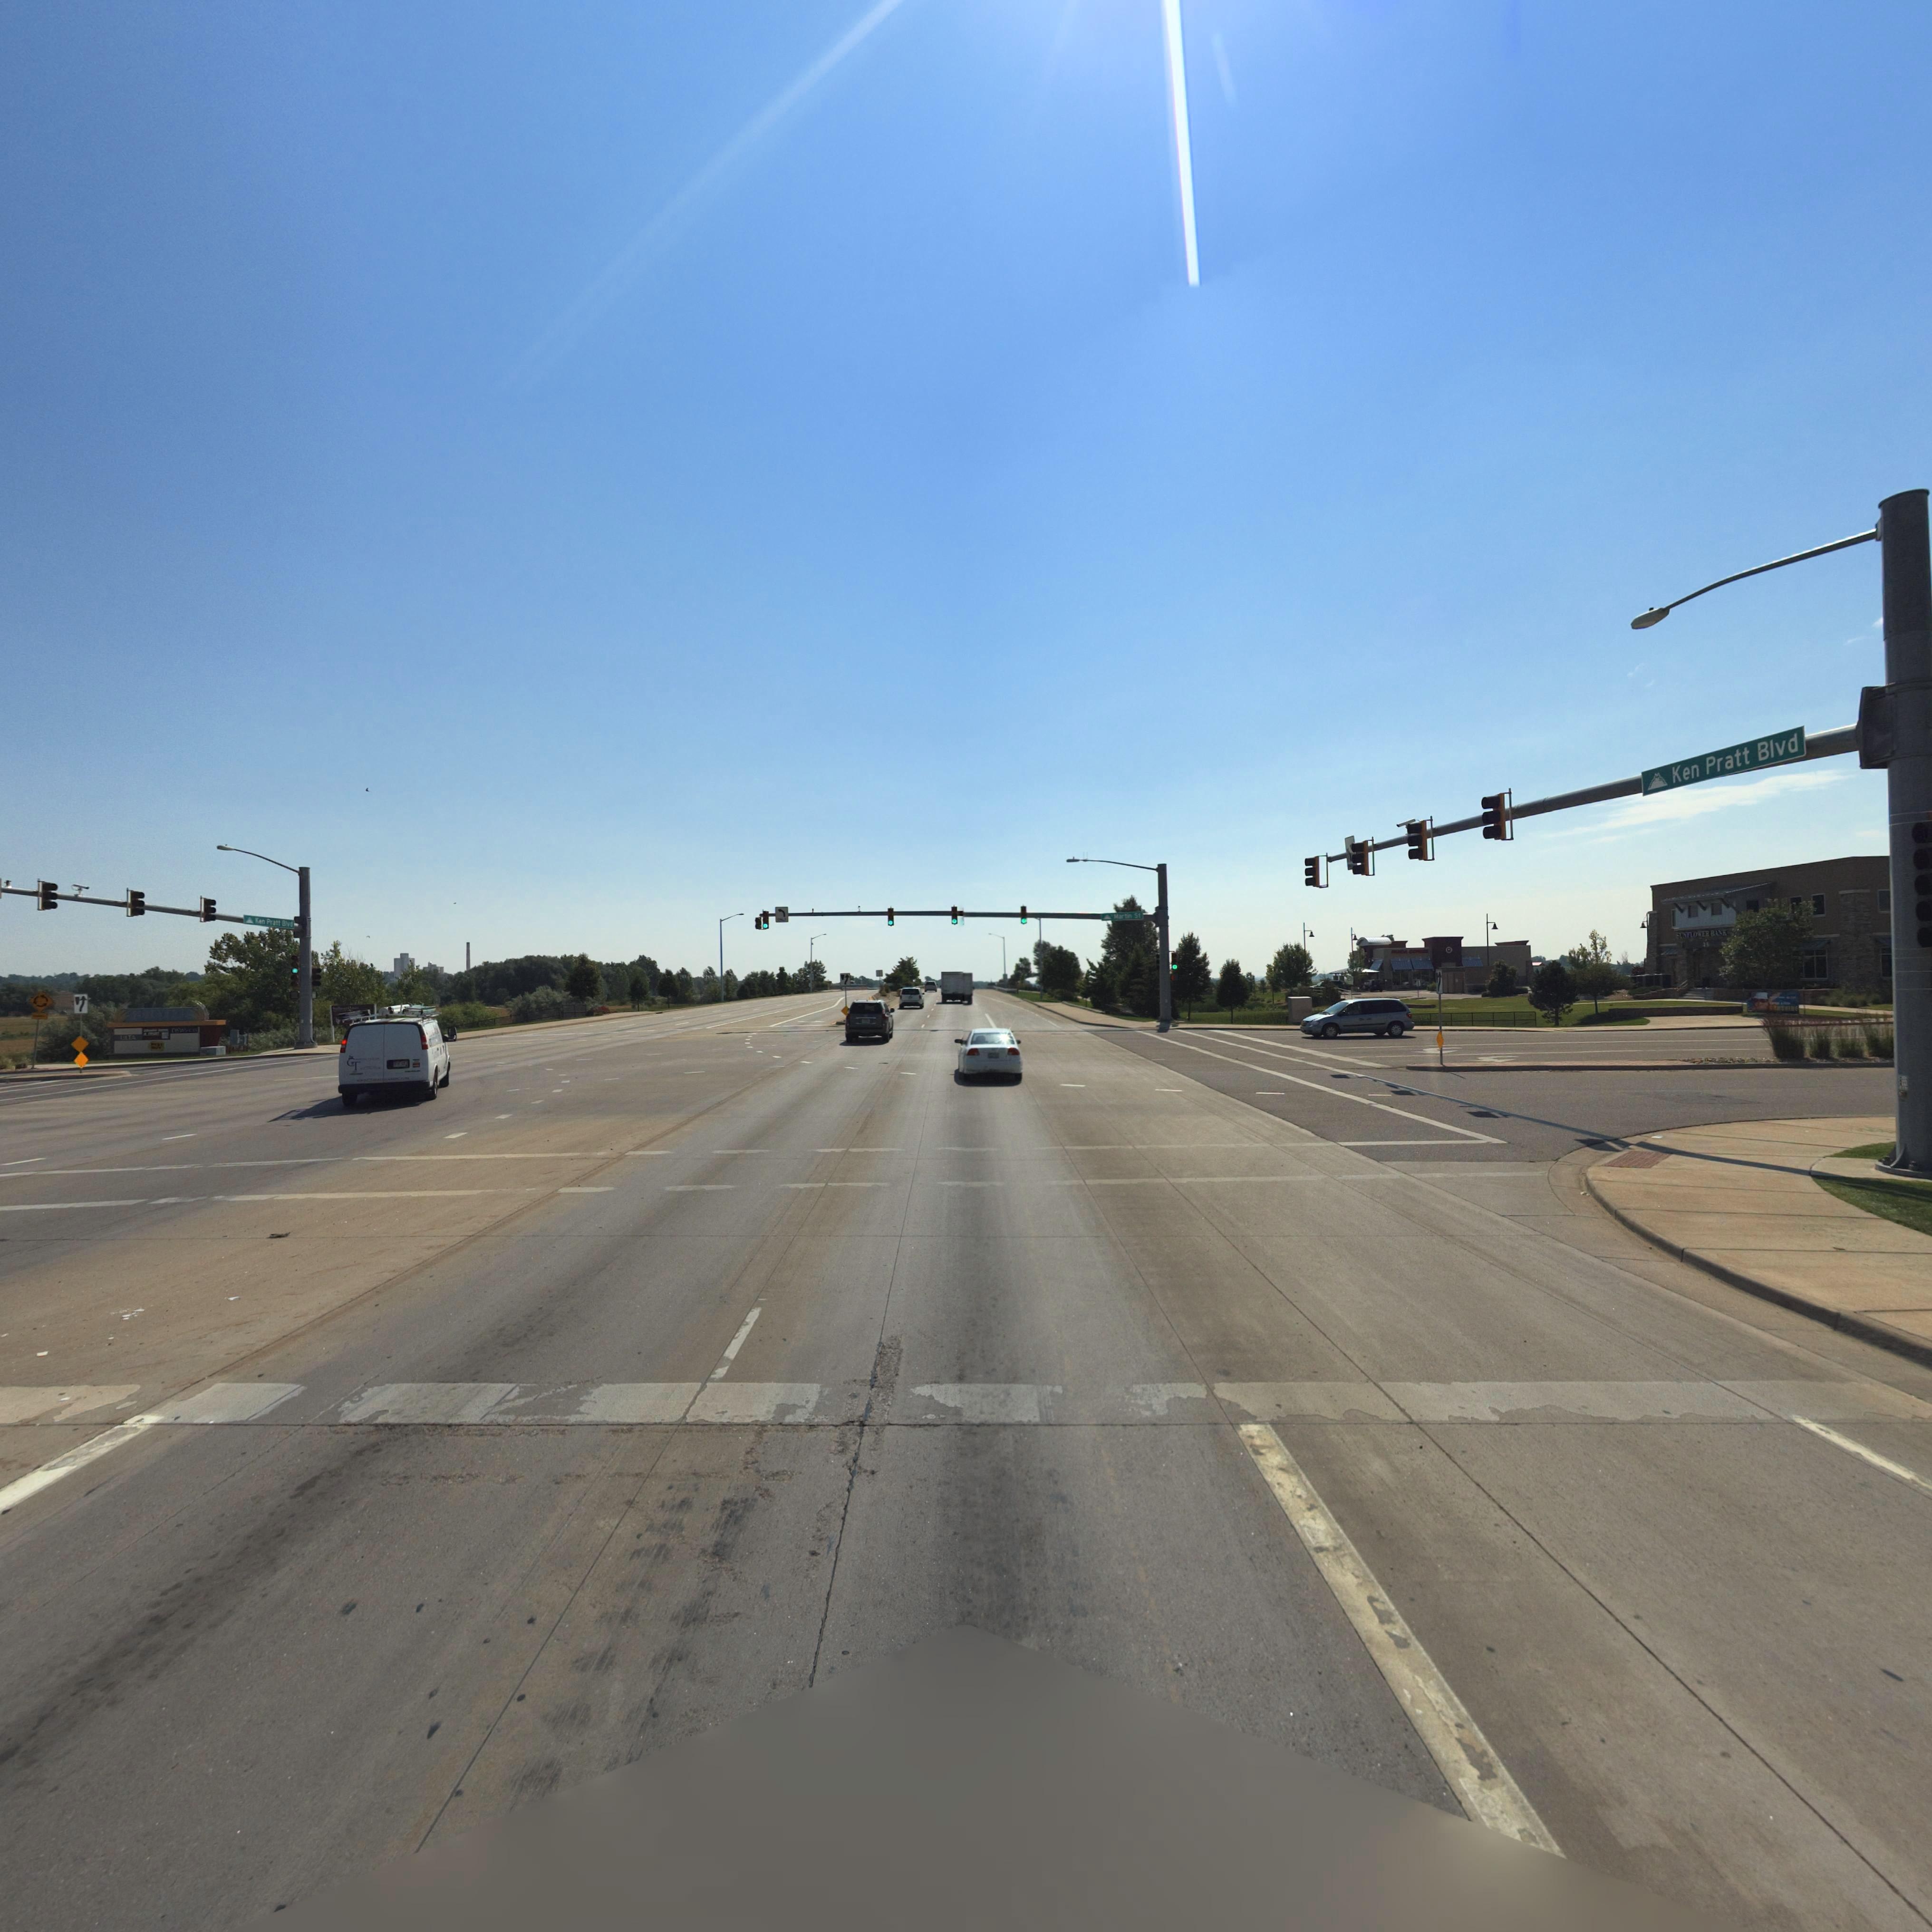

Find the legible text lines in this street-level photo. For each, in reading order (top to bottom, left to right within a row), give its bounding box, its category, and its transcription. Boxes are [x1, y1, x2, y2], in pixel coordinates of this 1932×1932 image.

[1671, 731, 1799, 784] StreetName: Ken Pratt Blvd
[1113, 912, 1141, 919] StreetName: Martin St
[254, 917, 293, 927] StreetName: Ken Pratt Blvd
[1676, 928, 1728, 939] BusinessName: SUNFLOWER BANK
[1702, 941, 1710, 947] StreetNumber: 2*
[120, 1034, 136, 1040] BusinessName: ULTA